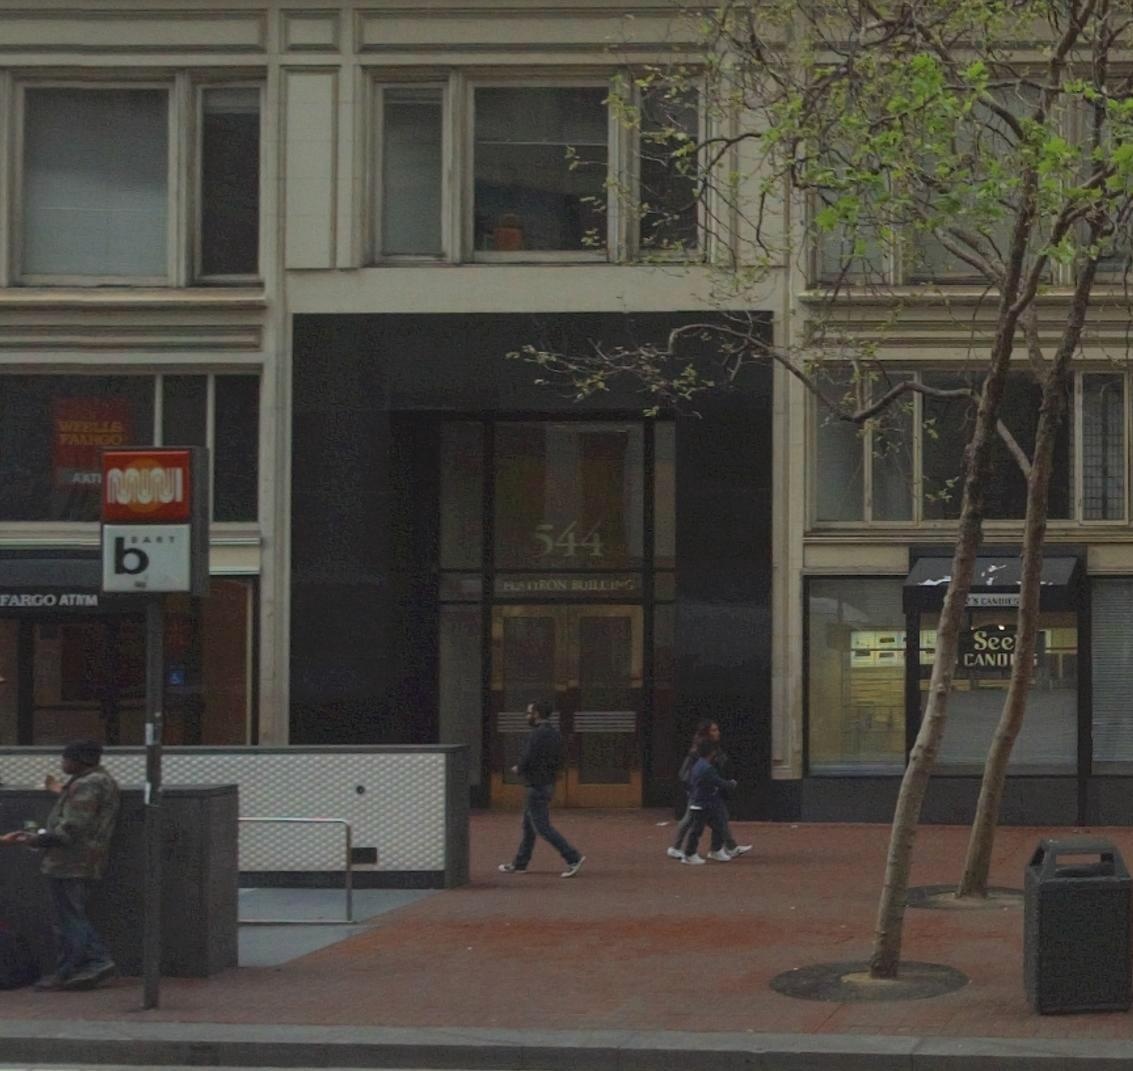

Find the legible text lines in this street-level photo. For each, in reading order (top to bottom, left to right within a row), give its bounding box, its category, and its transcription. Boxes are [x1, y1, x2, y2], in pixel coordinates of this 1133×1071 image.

[54, 417, 124, 435] BusinessName: W*EL*S
[56, 432, 126, 447] BusinessName: FA*RGO
[70, 471, 98, 486] None: AAT
[130, 534, 177, 545] None: EAST
[528, 518, 607, 560] StreetNumber: 544
[113, 535, 152, 576] None: b
[503, 578, 635, 592] None: H***RON BUIL****
[0, 593, 100, 607] None: FARGO AT*M
[971, 629, 1015, 652] BusinessName: See
[963, 651, 1009, 668] BusinessName: CAND